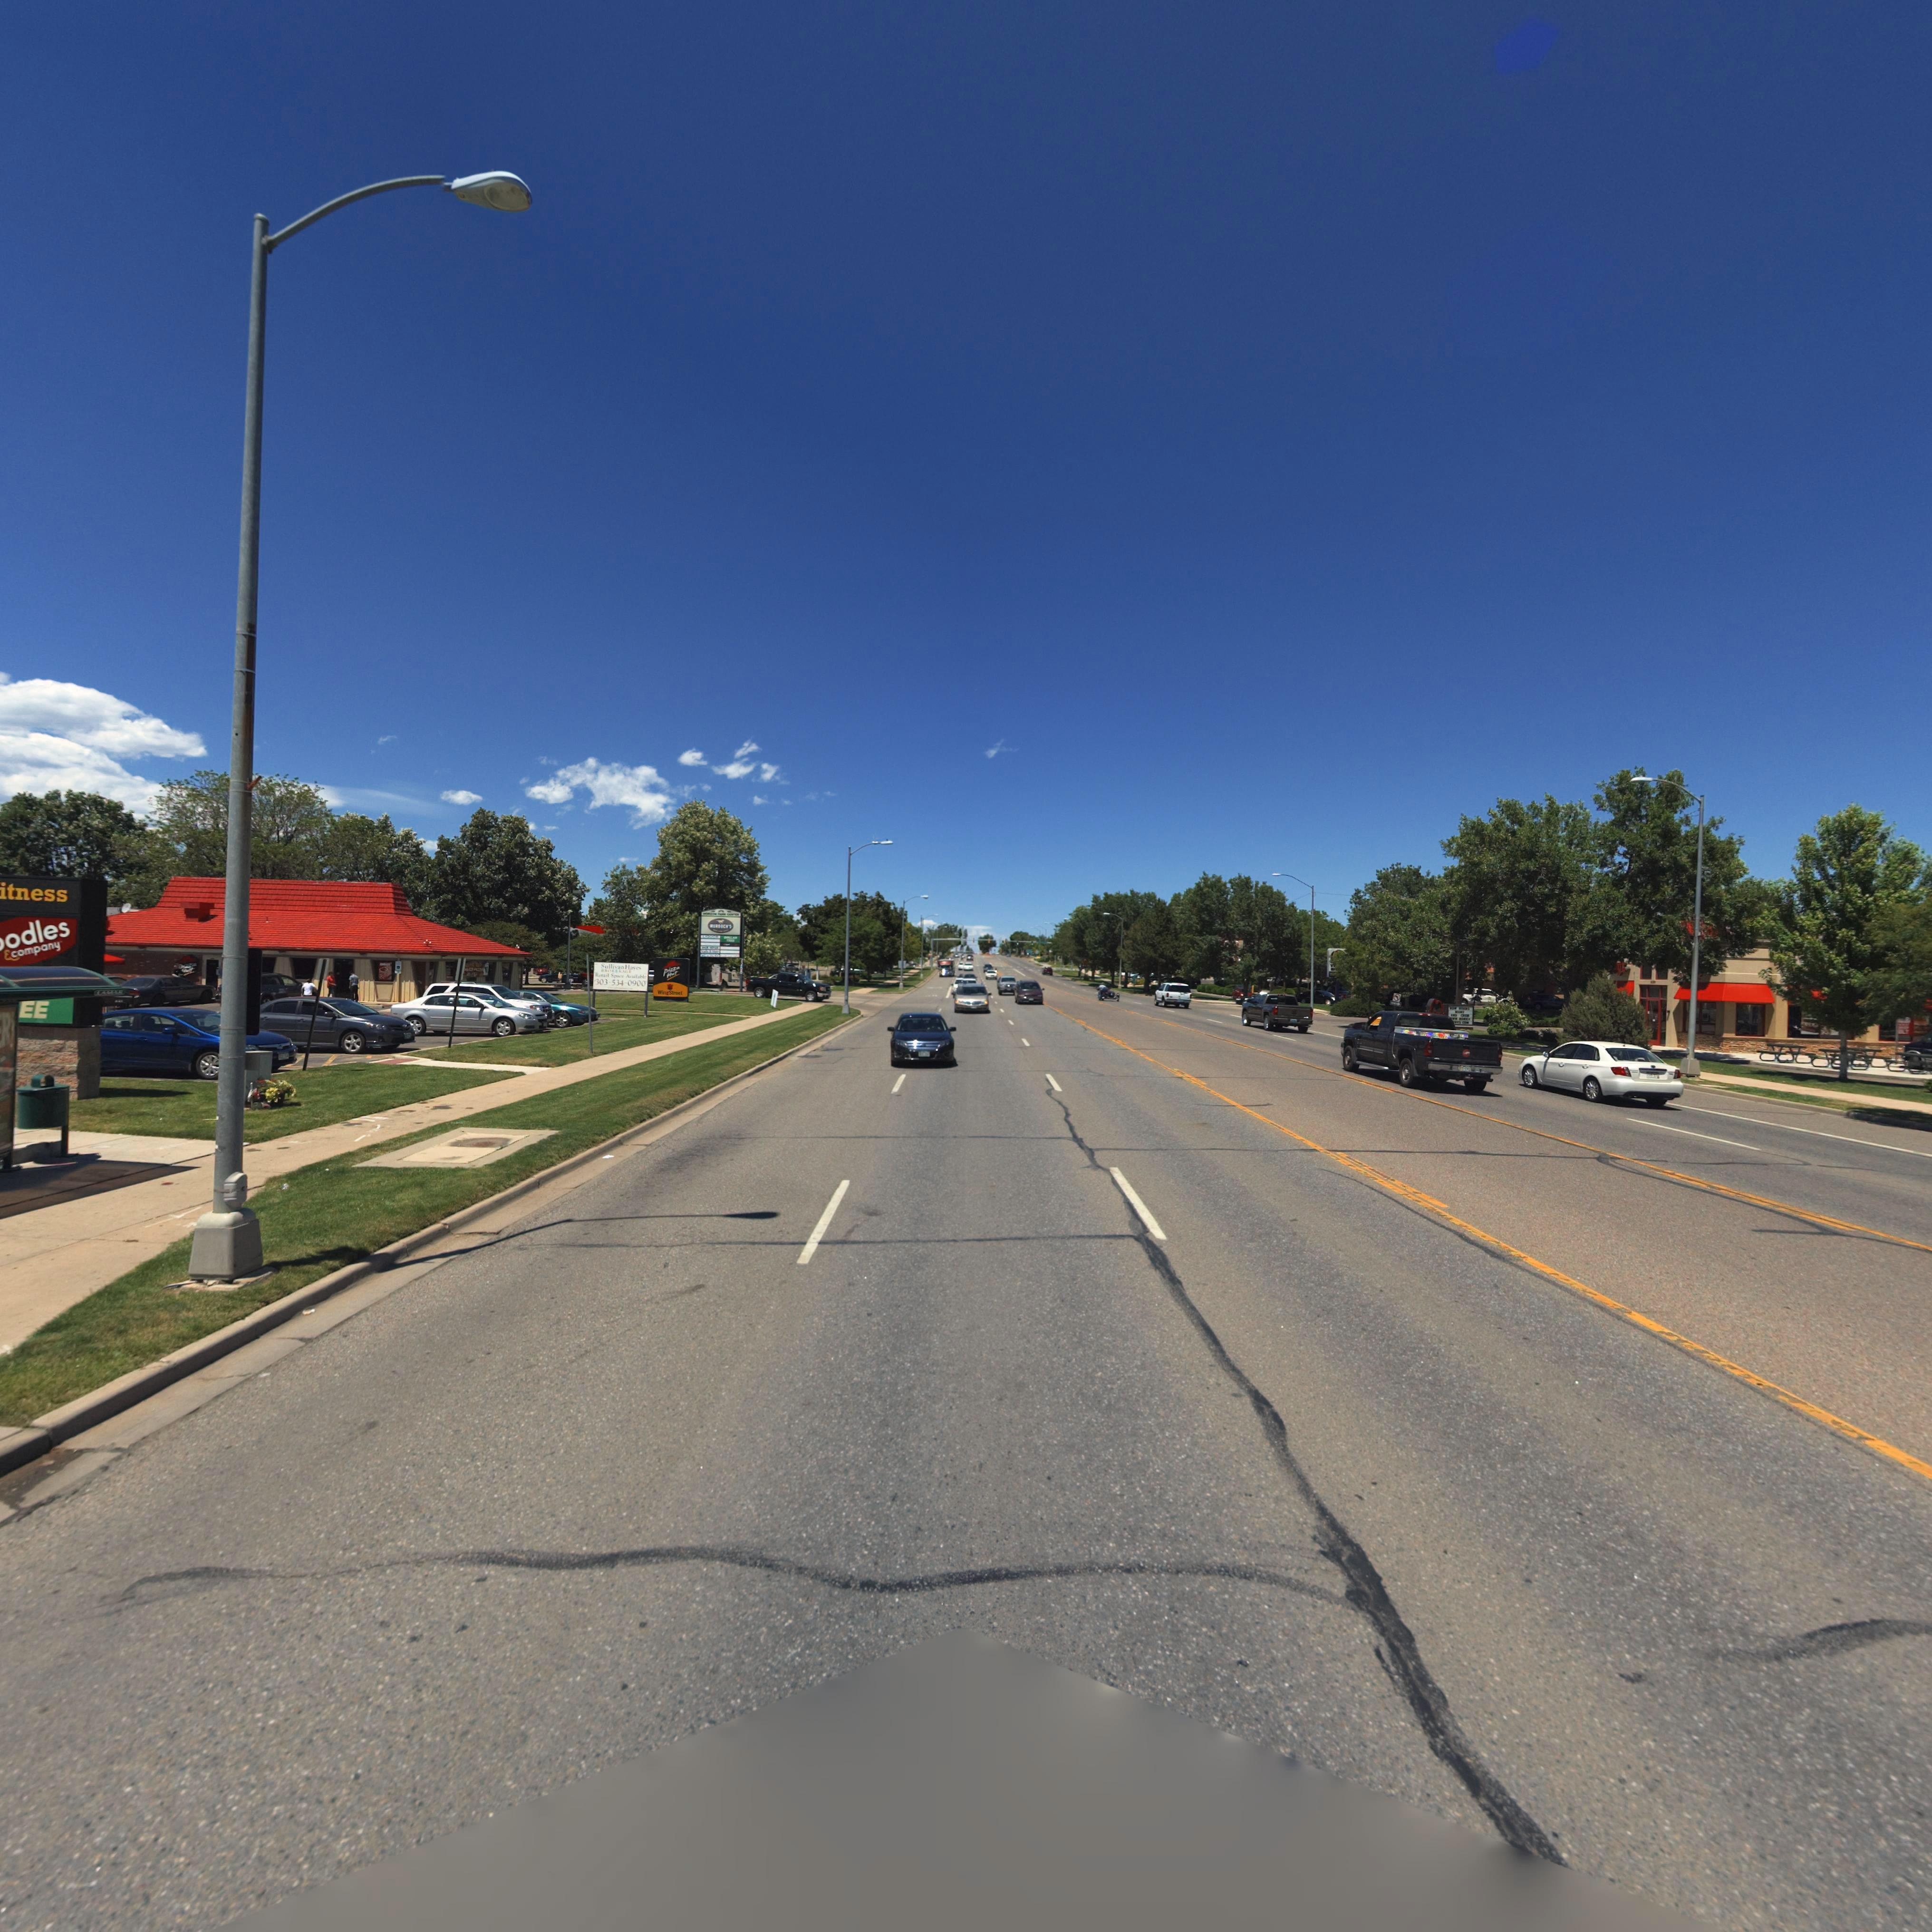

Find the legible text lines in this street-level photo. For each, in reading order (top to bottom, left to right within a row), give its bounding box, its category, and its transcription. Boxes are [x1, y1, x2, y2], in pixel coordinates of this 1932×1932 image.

[6, 883, 68, 902] BusinessName: tness
[710, 924, 731, 928] BusinessName: *****CH*
[4, 918, 70, 949] BusinessName: odles
[663, 966, 680, 976] BusinessName: p**z*
[667, 970, 677, 978] BusinessName: Hu*
[657, 990, 682, 995] BusinessName: **n*S*****
[18, 1000, 49, 1018] BusinessName: EE